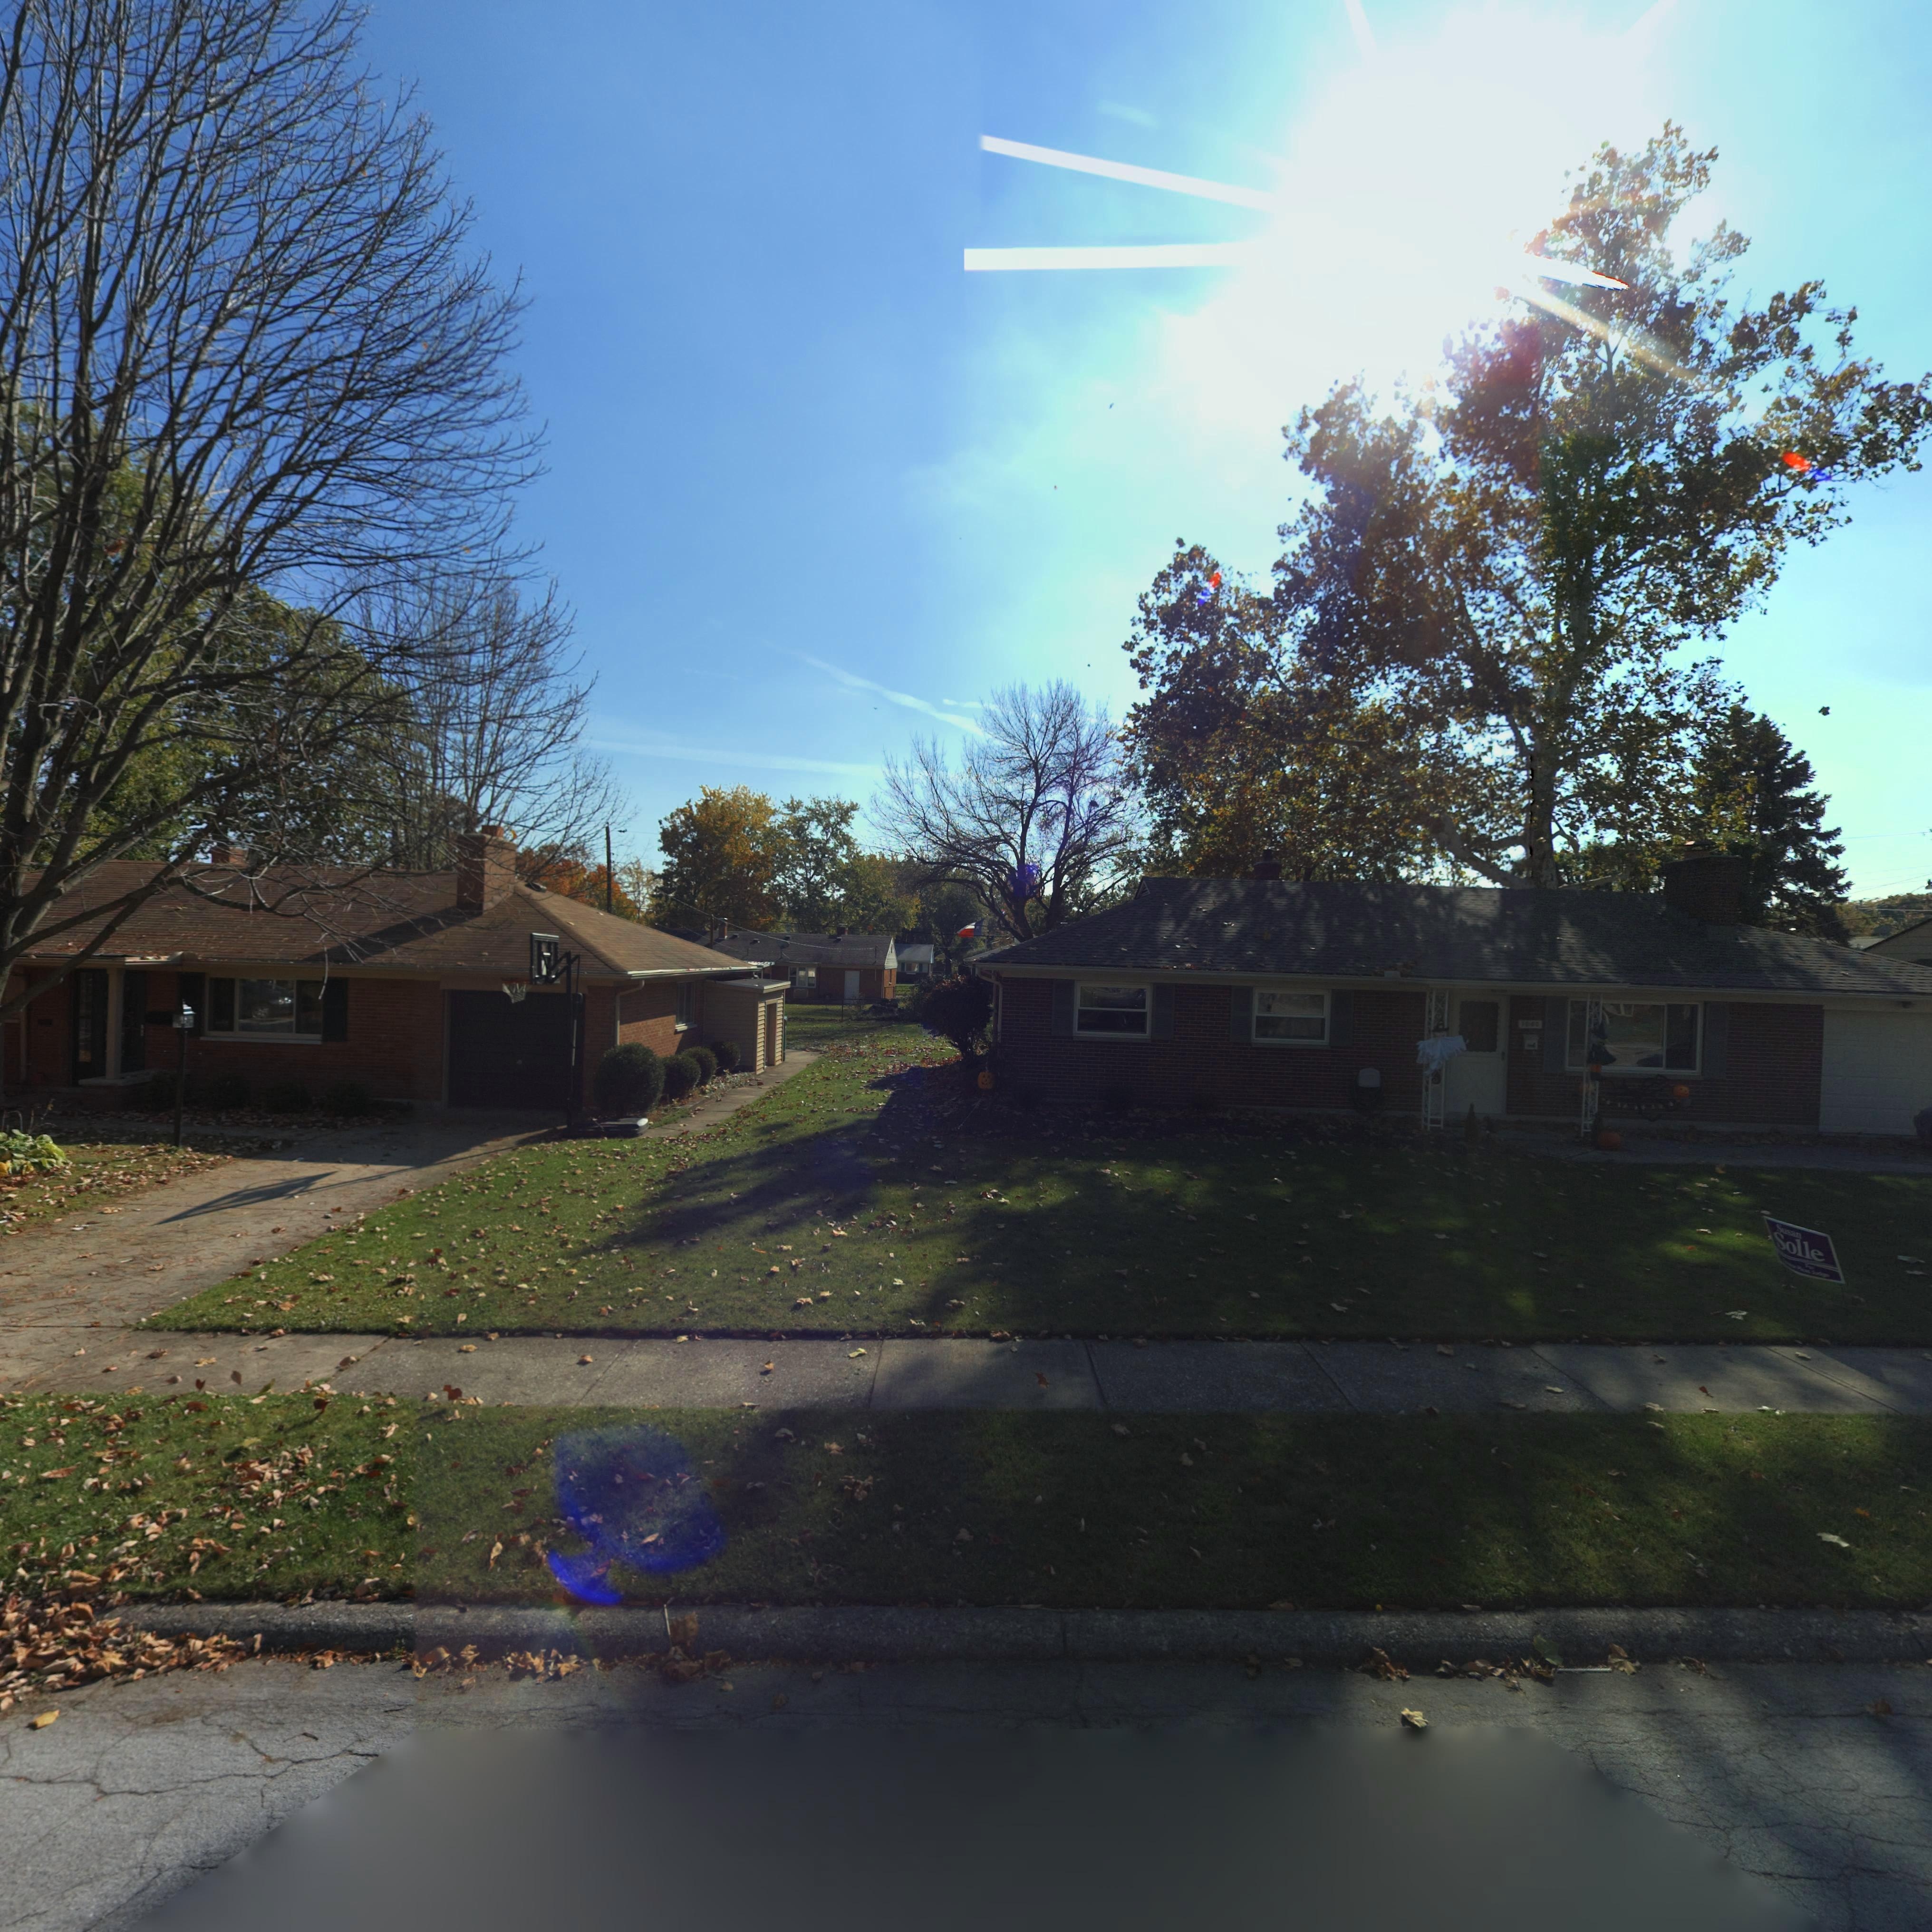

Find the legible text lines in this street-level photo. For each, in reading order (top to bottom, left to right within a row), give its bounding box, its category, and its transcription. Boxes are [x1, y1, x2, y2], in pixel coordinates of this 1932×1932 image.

[1520, 1020, 1538, 1027] StreetNumber: 1060